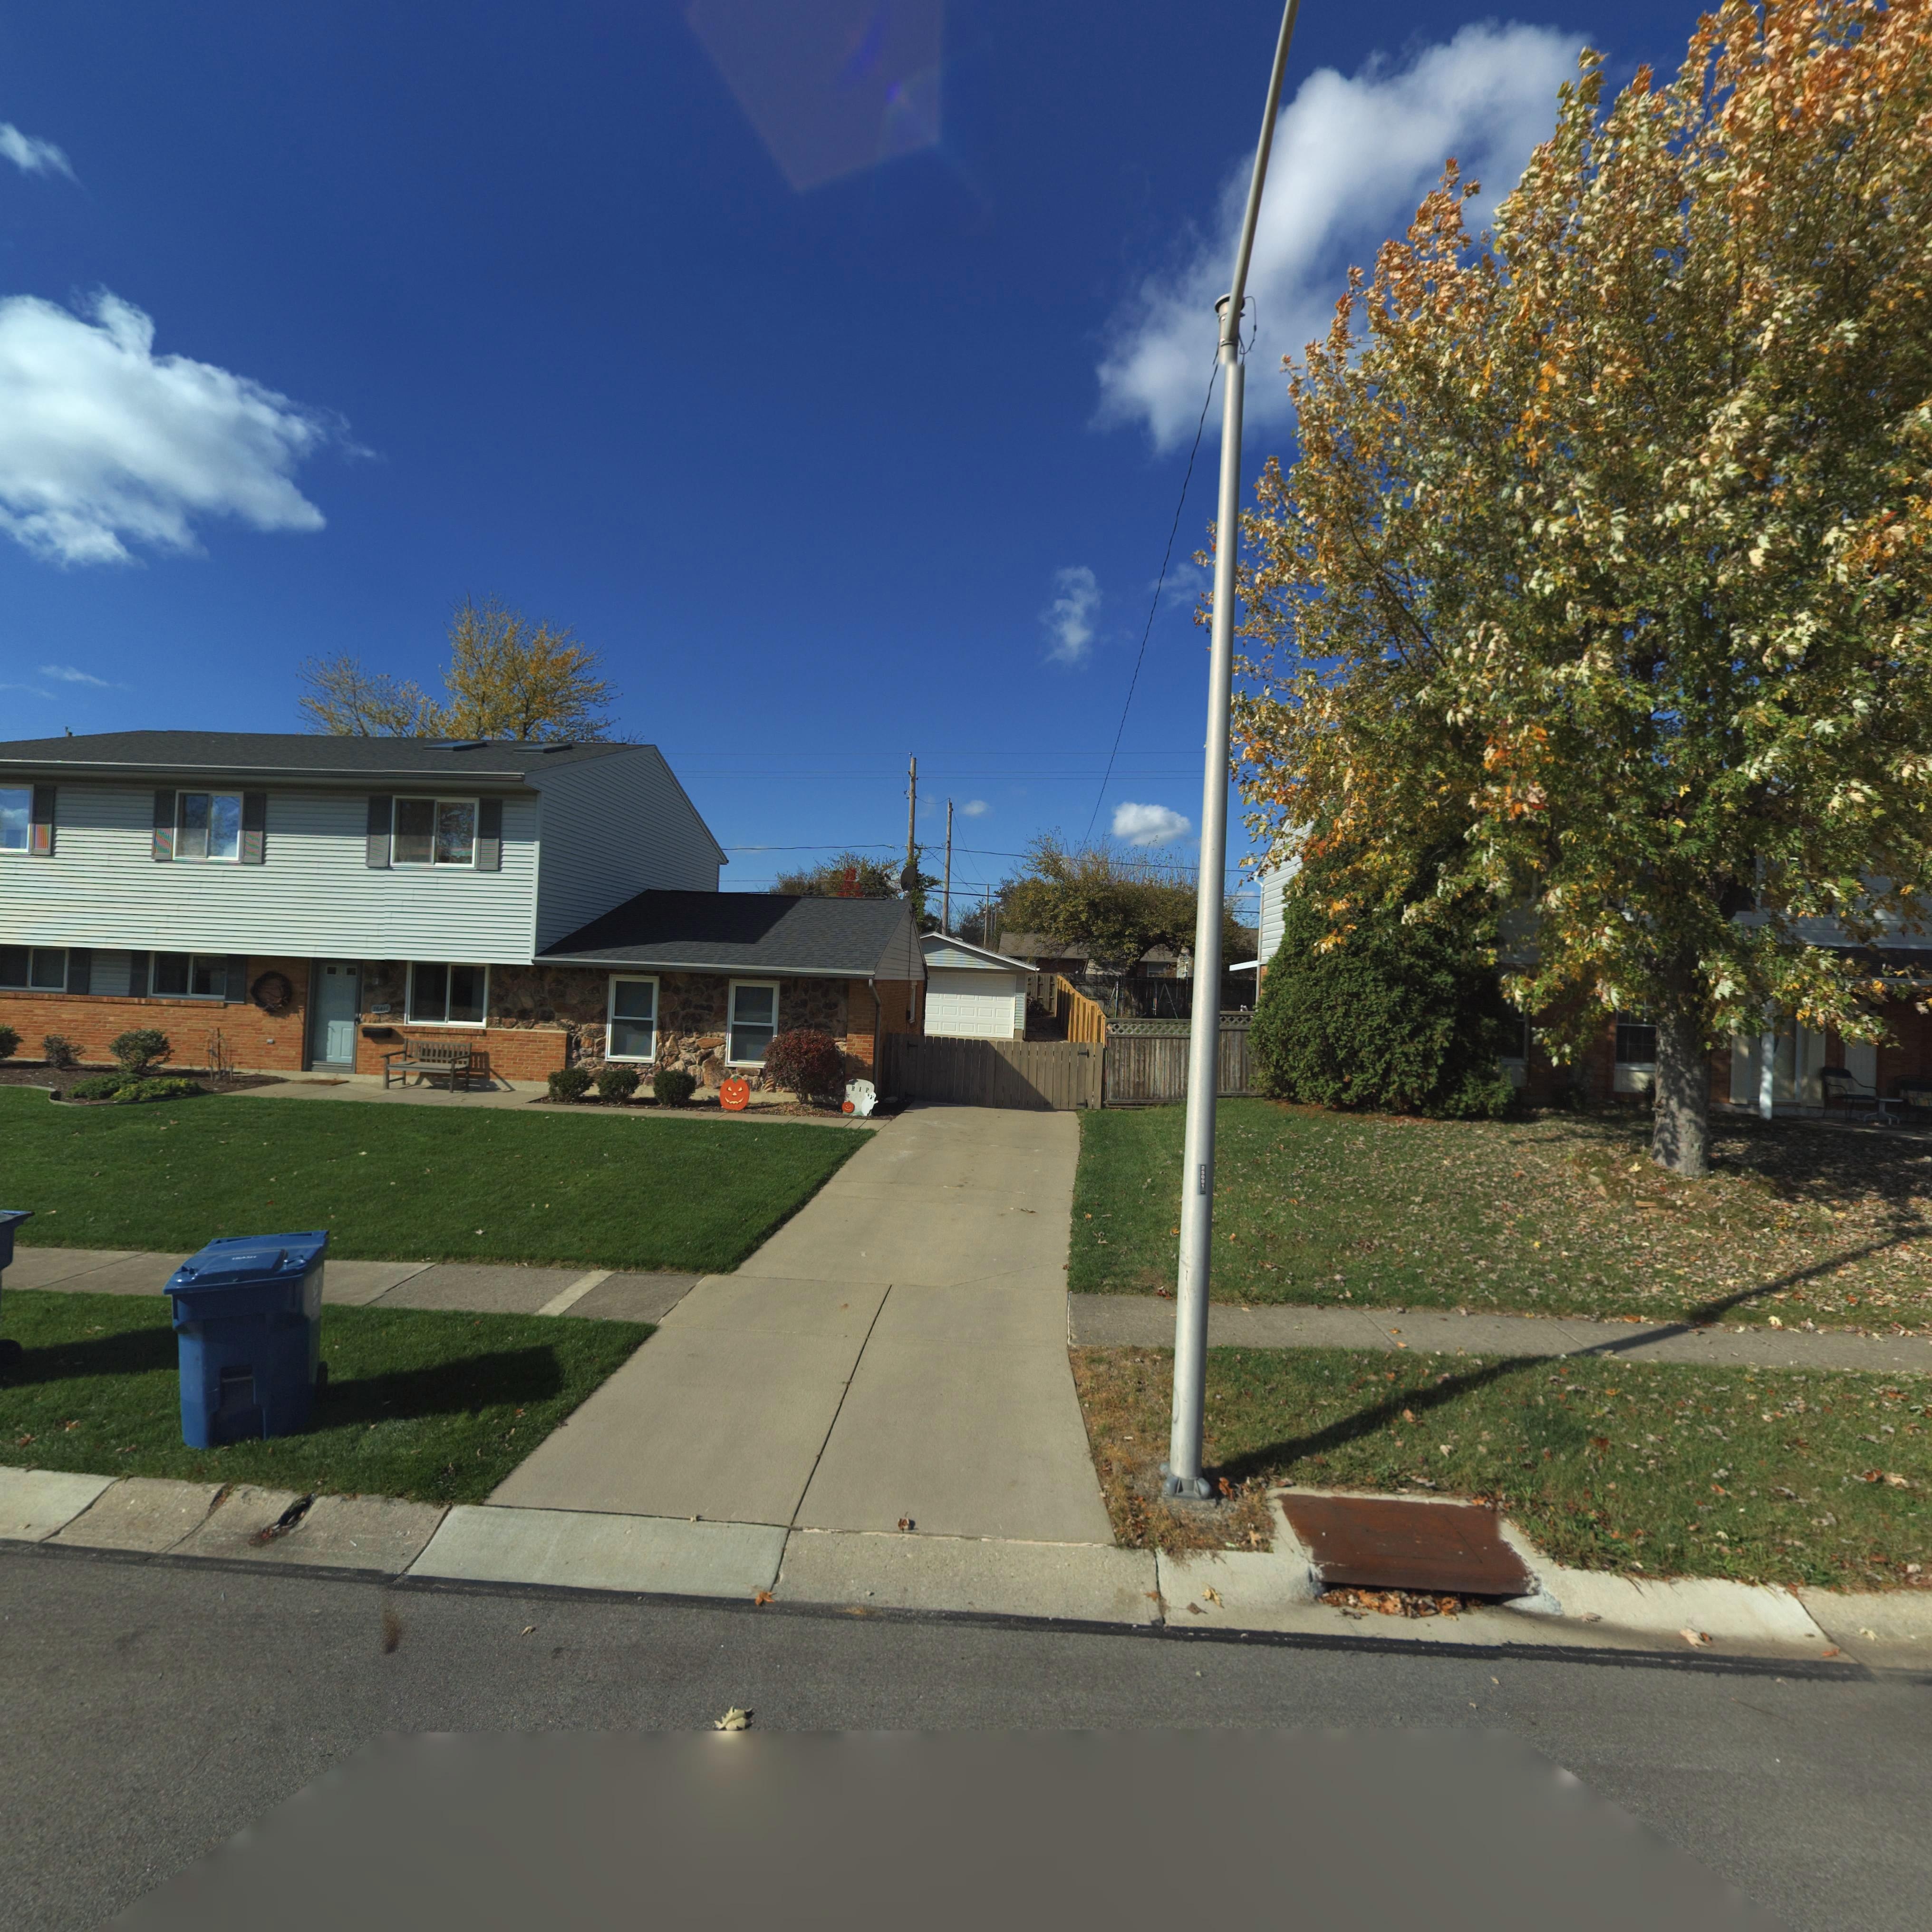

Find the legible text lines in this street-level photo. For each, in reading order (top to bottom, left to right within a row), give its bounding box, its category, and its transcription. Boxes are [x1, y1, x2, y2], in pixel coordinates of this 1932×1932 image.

[371, 1005, 390, 1014] StreetNumber: 764**